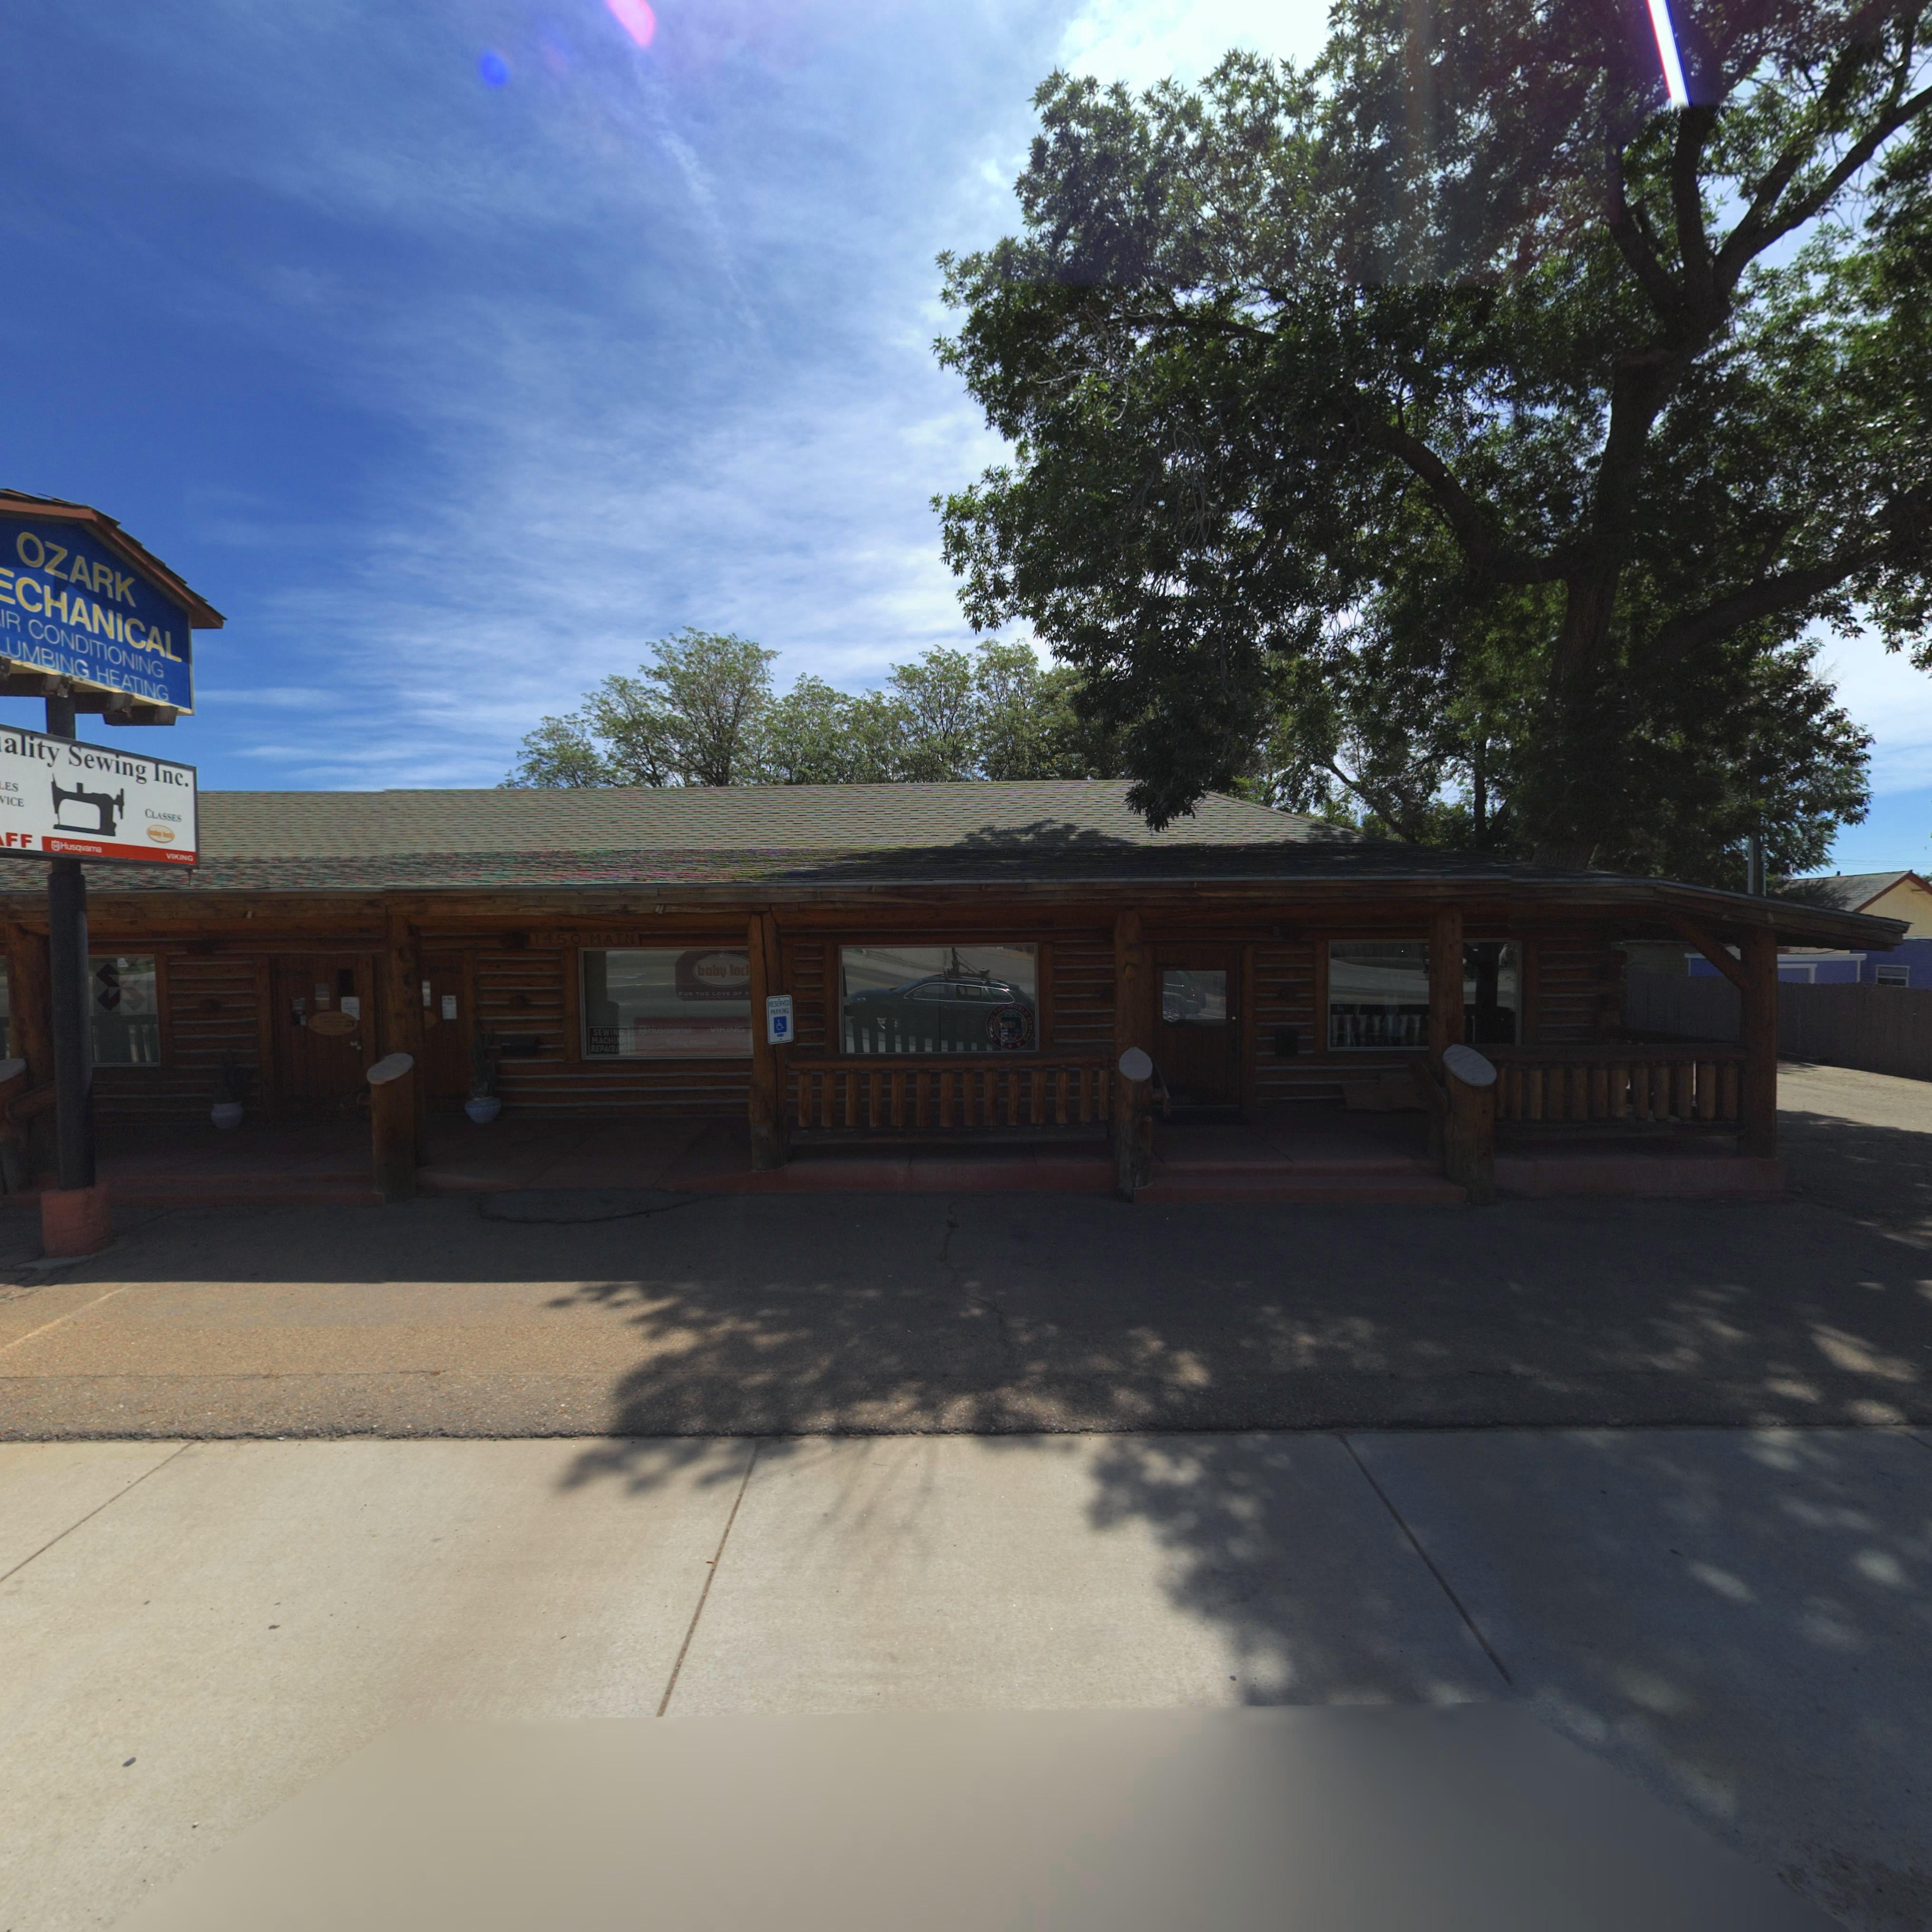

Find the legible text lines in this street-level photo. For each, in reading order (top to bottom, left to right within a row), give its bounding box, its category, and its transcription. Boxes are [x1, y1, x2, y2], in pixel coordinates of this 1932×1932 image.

[16, 530, 136, 609] BusinessName: OZARK
[14, 574, 183, 664] BusinessName: CHANICAL
[3, 732, 184, 787] BusinessName: ality Sewing Inc
[534, 933, 583, 946] StreetNumber: 1450
[590, 932, 635, 945] StreetName: MAIN